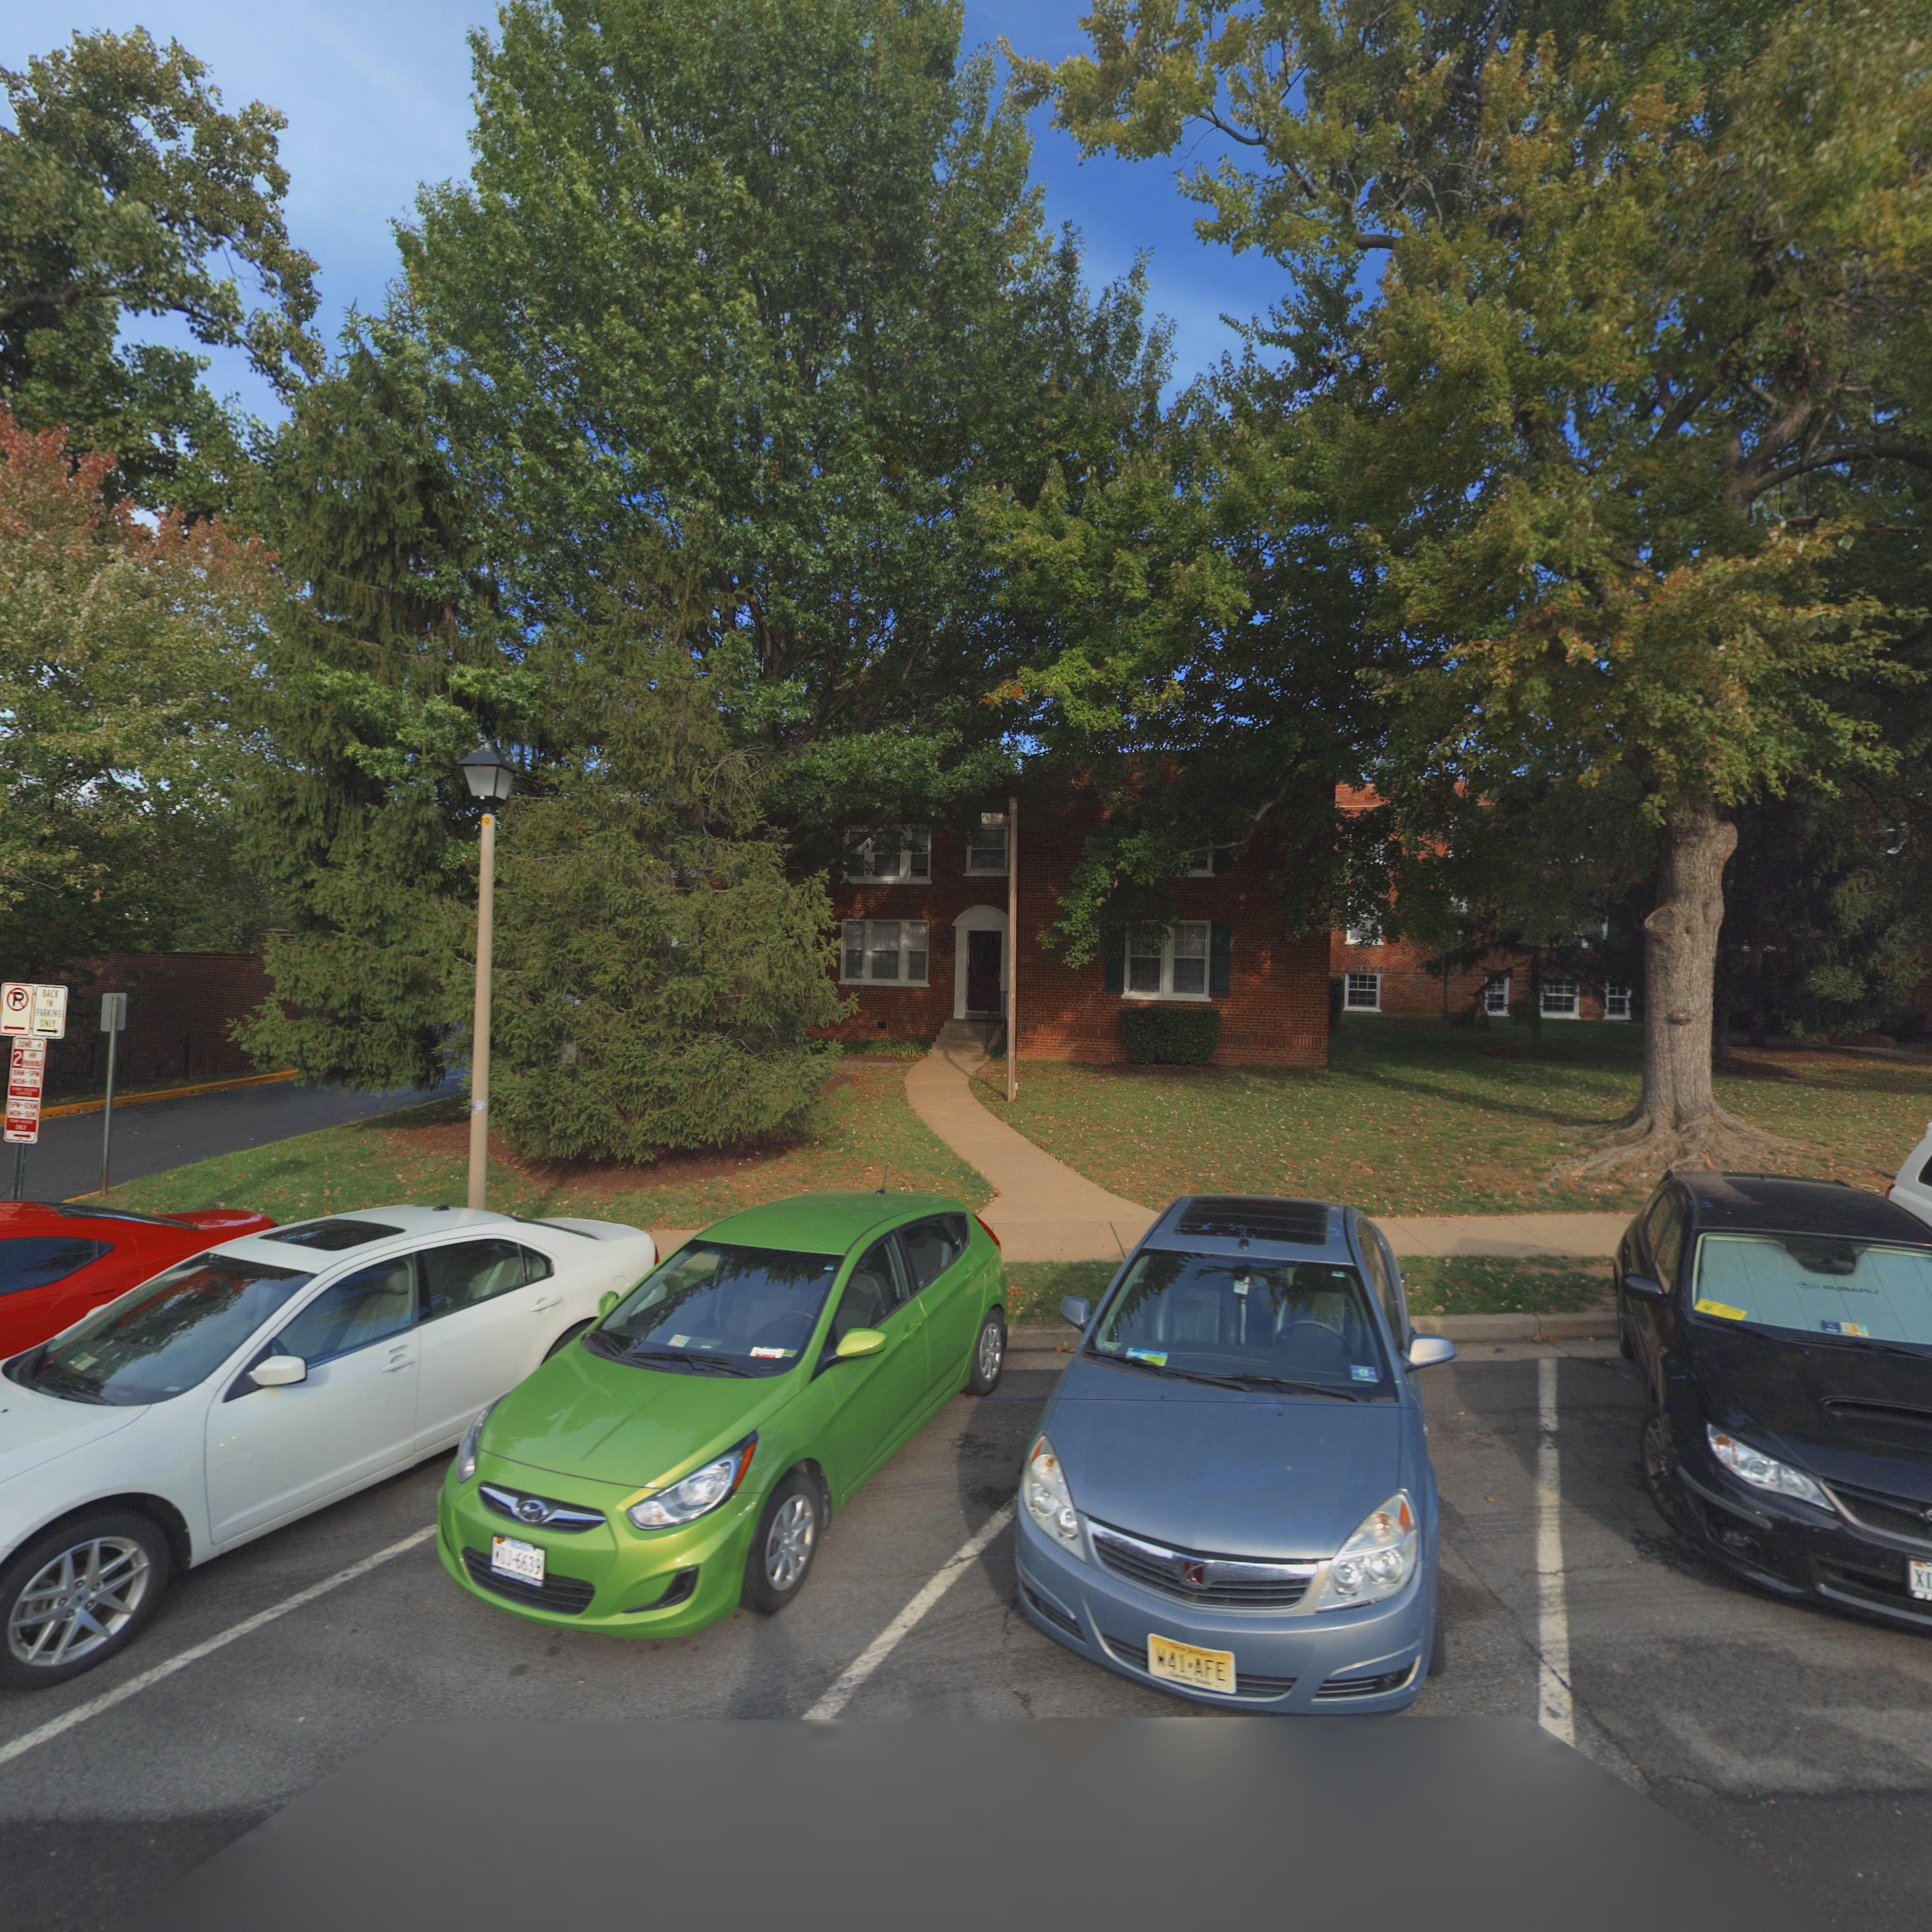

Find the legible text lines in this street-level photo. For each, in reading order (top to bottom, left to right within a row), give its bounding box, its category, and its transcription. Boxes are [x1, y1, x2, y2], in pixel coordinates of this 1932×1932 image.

[481, 817, 490, 824] None: 10
[41, 988, 59, 998] None: BACK
[45, 998, 54, 1008] None: IN
[34, 1008, 63, 1018] None: PARKING
[39, 1018, 57, 1028] None: ONLY
[16, 1040, 42, 1049] None: ZONE 4
[11, 1050, 23, 1068] None: 2
[28, 1052, 37, 1059] None: HR
[22, 1059, 43, 1068] None: PARKING
[12, 1069, 41, 1078] None: 8AM-5PM
[11, 1077, 39, 1087] None: MON-FRI
[8, 1101, 39, 1111] None: 5PM-12AM
[8, 1109, 37, 1119] None: MON-SUN
[1821, 1285, 1880, 1295] None: SUBARU
[514, 1551, 543, 1577] None: 6639
[1913, 1567, 1926, 1590] None: X
[1913, 1590, 1926, 1600] None: S
[1155, 1644, 1227, 1684] None: M41*AFE